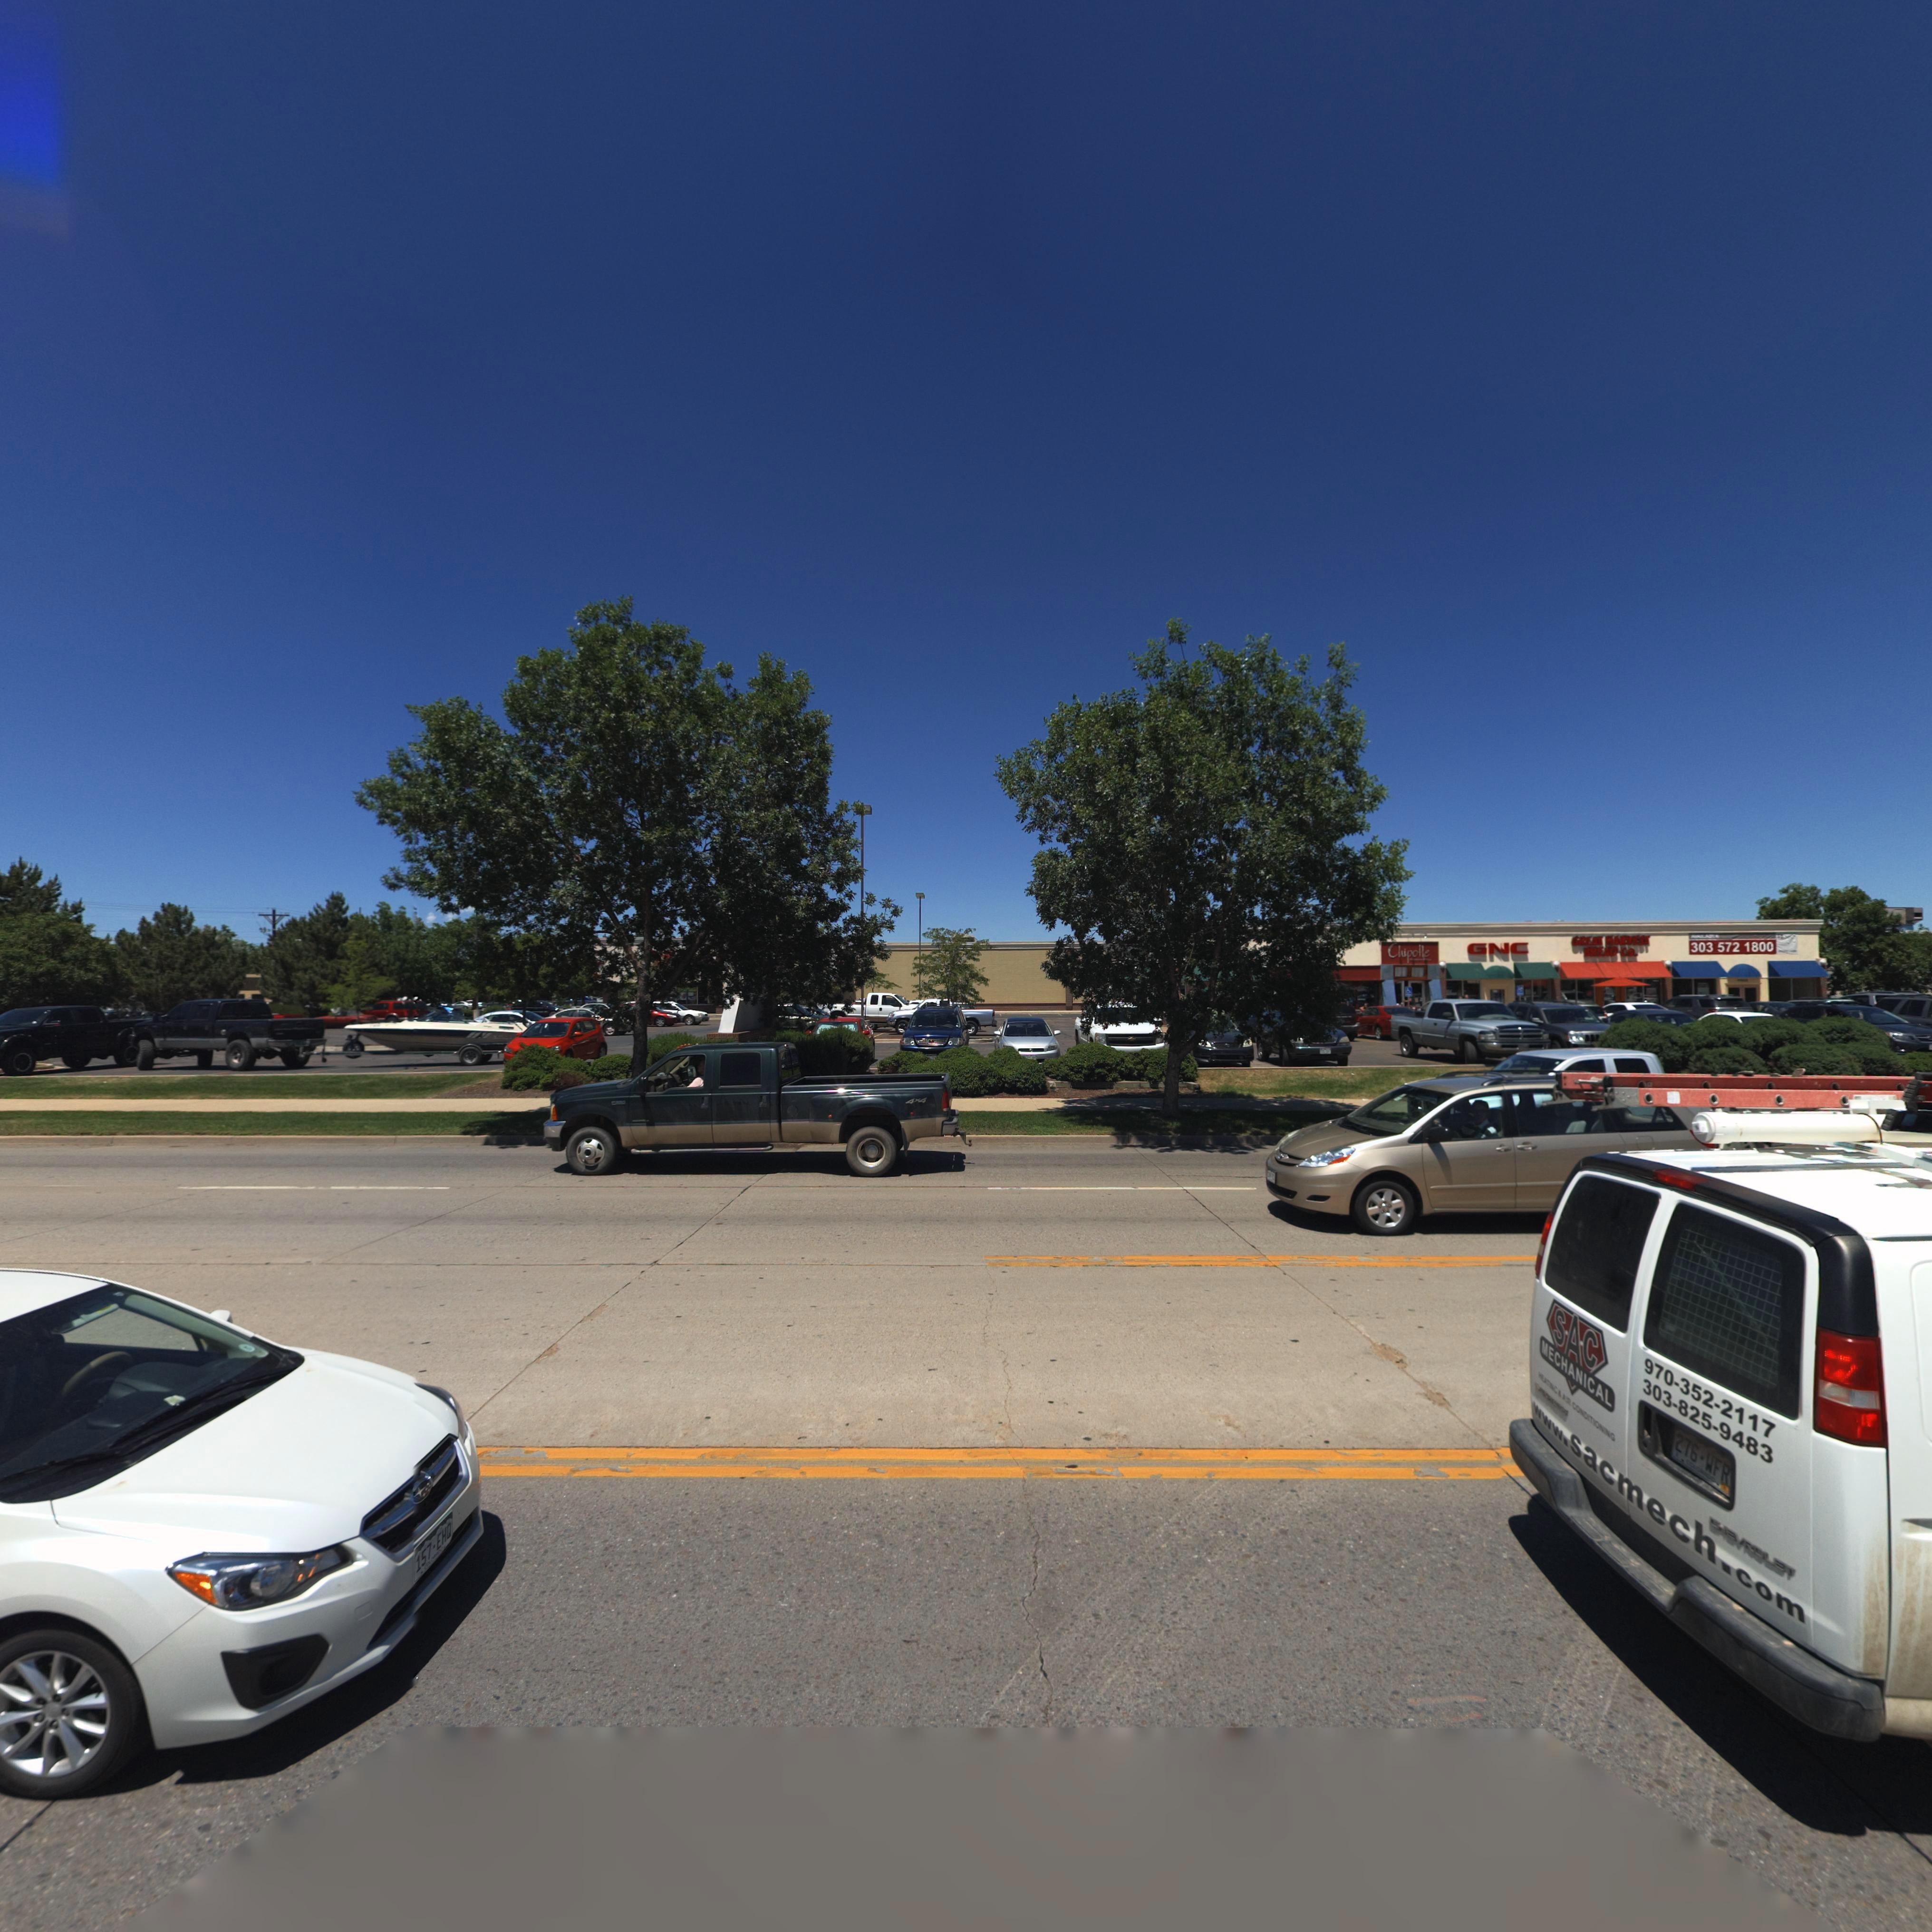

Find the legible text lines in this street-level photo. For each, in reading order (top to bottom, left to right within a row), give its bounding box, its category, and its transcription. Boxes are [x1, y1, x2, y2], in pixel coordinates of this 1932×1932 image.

[1571, 934, 1651, 946] BusinessName: GREAT HARVEST
[1387, 941, 1431, 964] BusinessName: Chipotle
[1467, 941, 1529, 955] BusinessName: GNC
[1583, 945, 1635, 957] BusinessName: BREAD CO